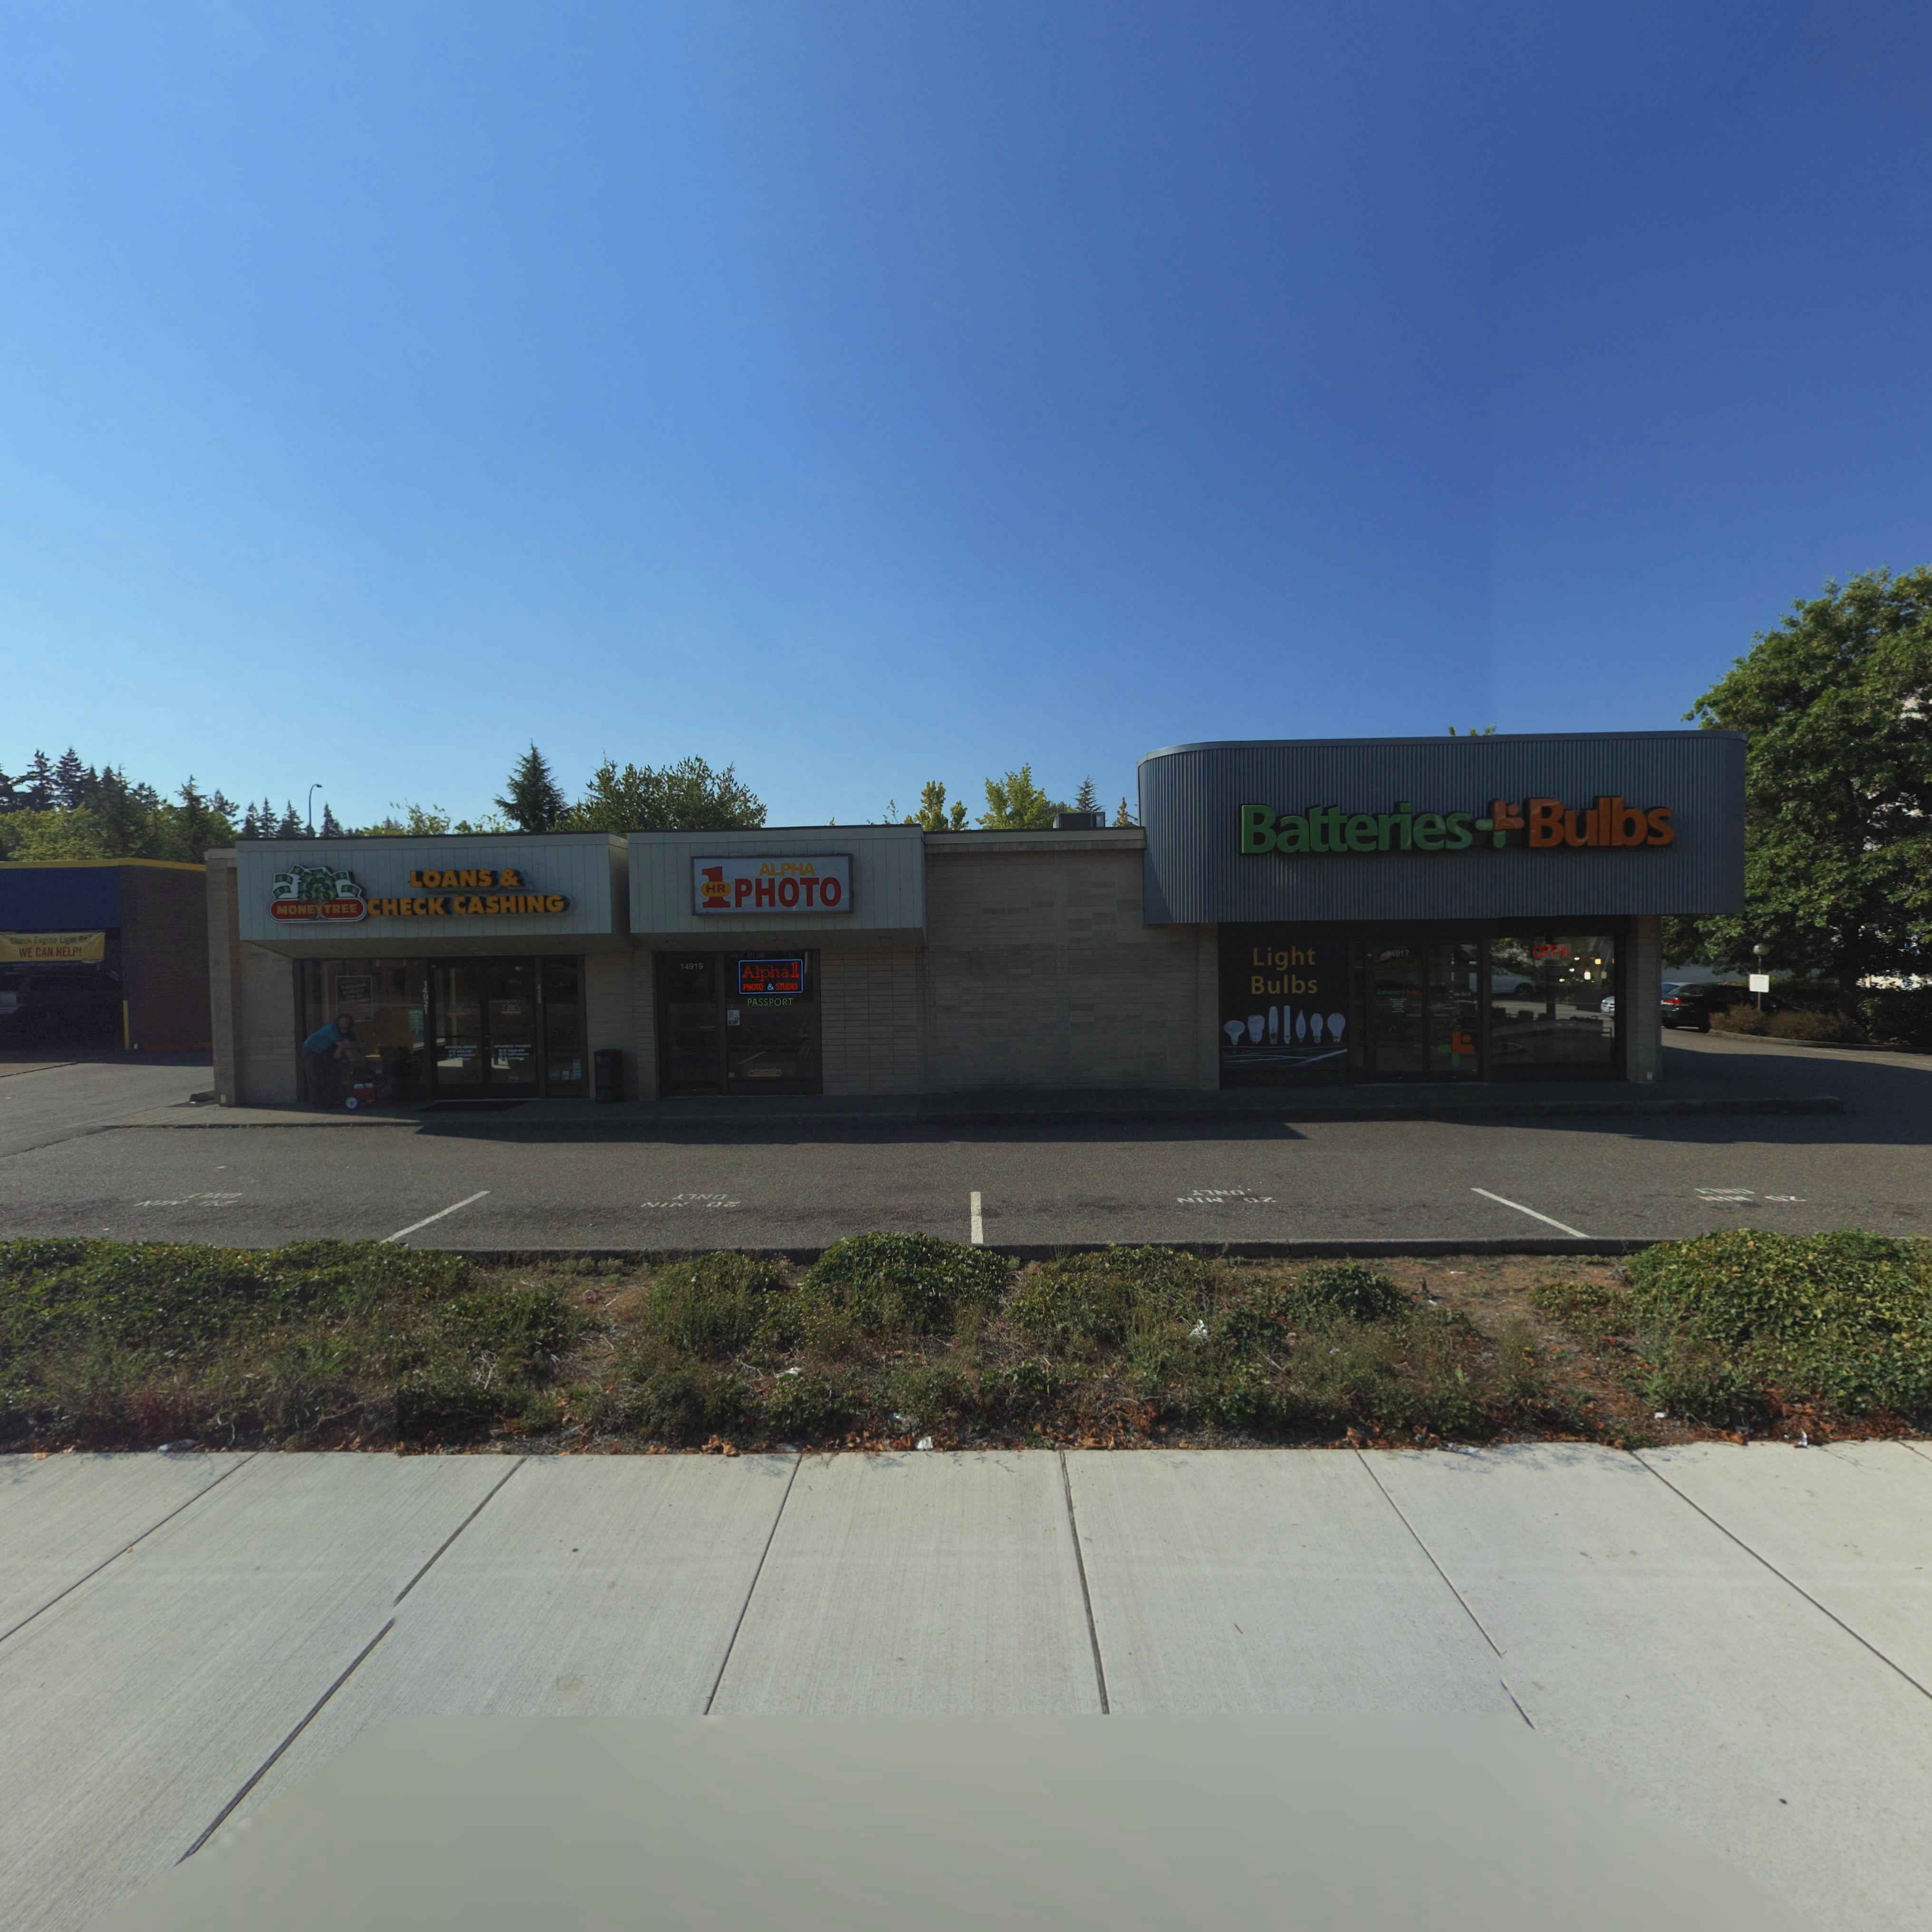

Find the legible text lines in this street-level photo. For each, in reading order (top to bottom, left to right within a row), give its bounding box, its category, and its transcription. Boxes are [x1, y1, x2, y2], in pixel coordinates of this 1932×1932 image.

[1239, 795, 1676, 855] BusinessName: Batteries*Bulbs
[408, 867, 520, 889] BusinessName: LOANS &
[700, 865, 731, 908] BusinessName: 1
[705, 883, 726, 894] BusinessName: HR
[757, 862, 817, 877] BusinessName: ALPHA
[734, 876, 842, 908] StreetNumber: PHOTO
[276, 903, 358, 916] BusinessName: MONEYTREE
[366, 893, 565, 917] BusinessName: CHECK CASHING
[1385, 949, 1410, 957] StreetNumber: 14917
[680, 962, 704, 970] StreetNumber: 14919
[741, 961, 800, 982] StreetNumber: Alpha 1
[422, 980, 429, 1014] StreetNumber: 14921
[742, 982, 798, 991] BusinessName: PHOTO & STUDIO